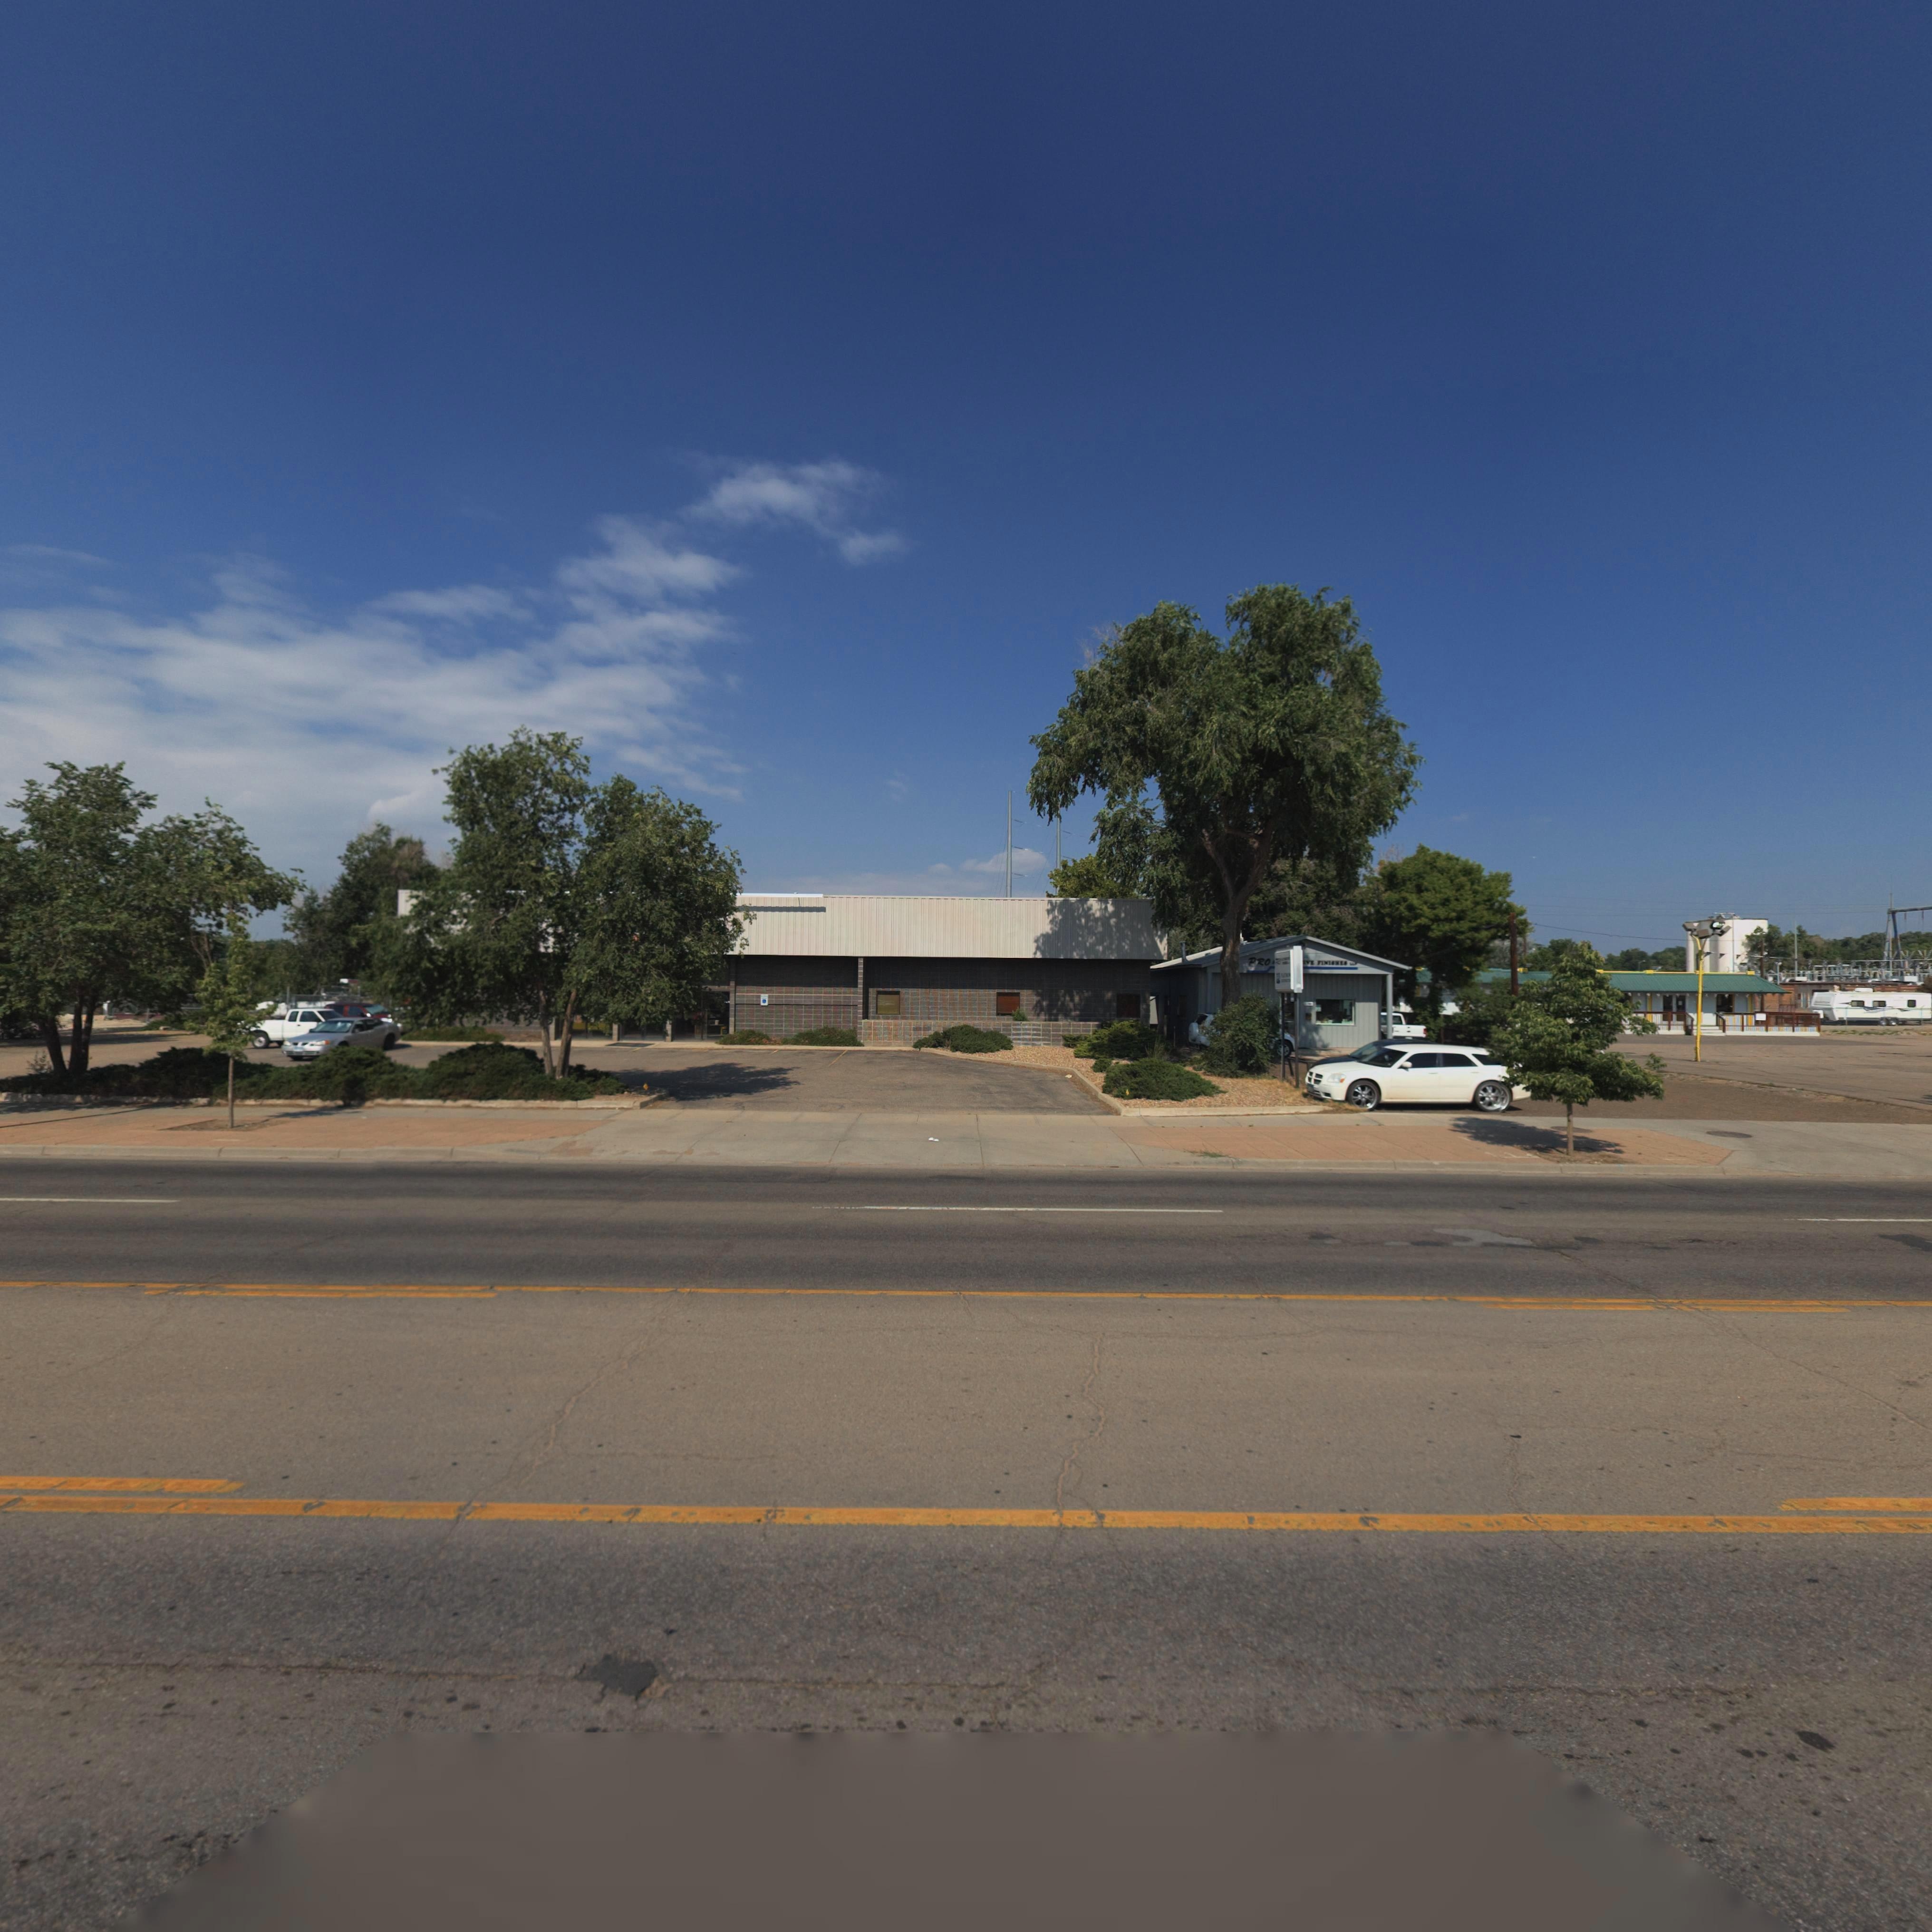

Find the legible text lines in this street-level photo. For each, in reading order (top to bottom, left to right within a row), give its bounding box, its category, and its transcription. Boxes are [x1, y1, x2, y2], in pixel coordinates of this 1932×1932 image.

[1247, 956, 1271, 966] BusinessName: PRO
[1275, 957, 1282, 965] BusinessName: R
[1305, 960, 1358, 966] BusinessName: VE FINISHES LLP